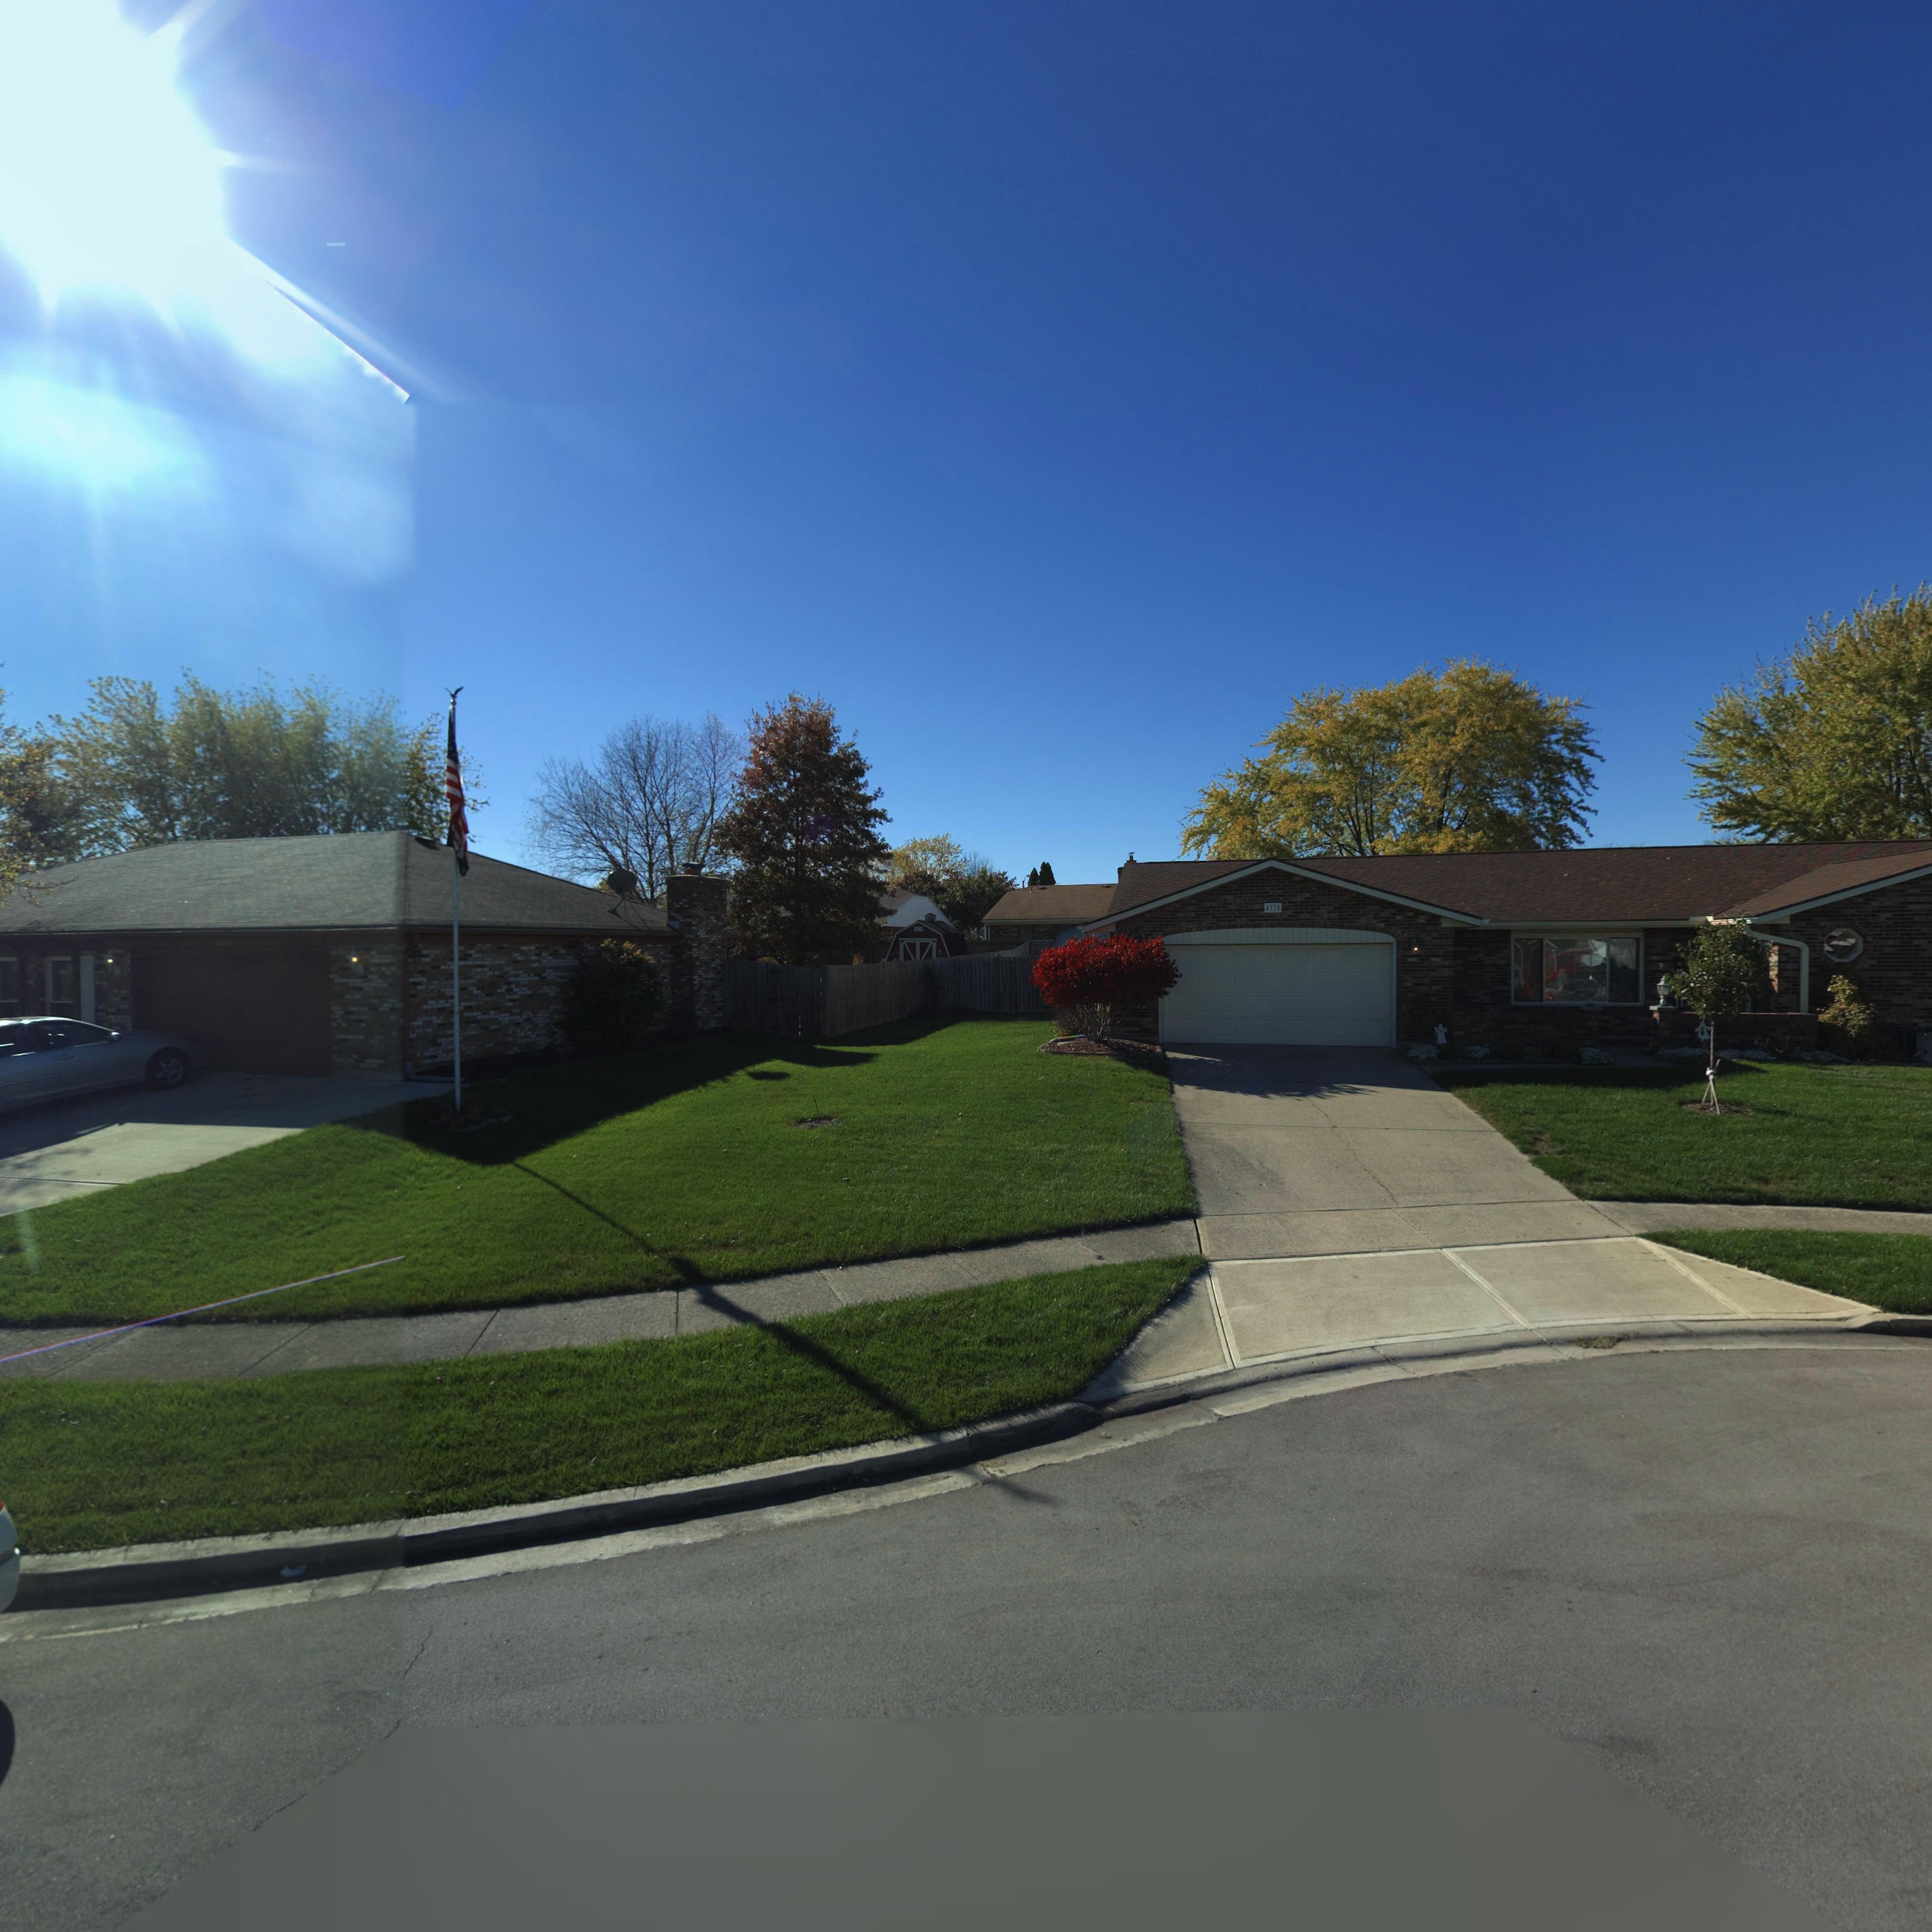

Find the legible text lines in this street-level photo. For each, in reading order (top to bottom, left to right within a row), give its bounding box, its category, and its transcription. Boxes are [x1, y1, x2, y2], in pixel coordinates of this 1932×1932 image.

[1265, 905, 1281, 911] StreetNumber: 4378
[213, 938, 232, 946] StreetNumber: 4374